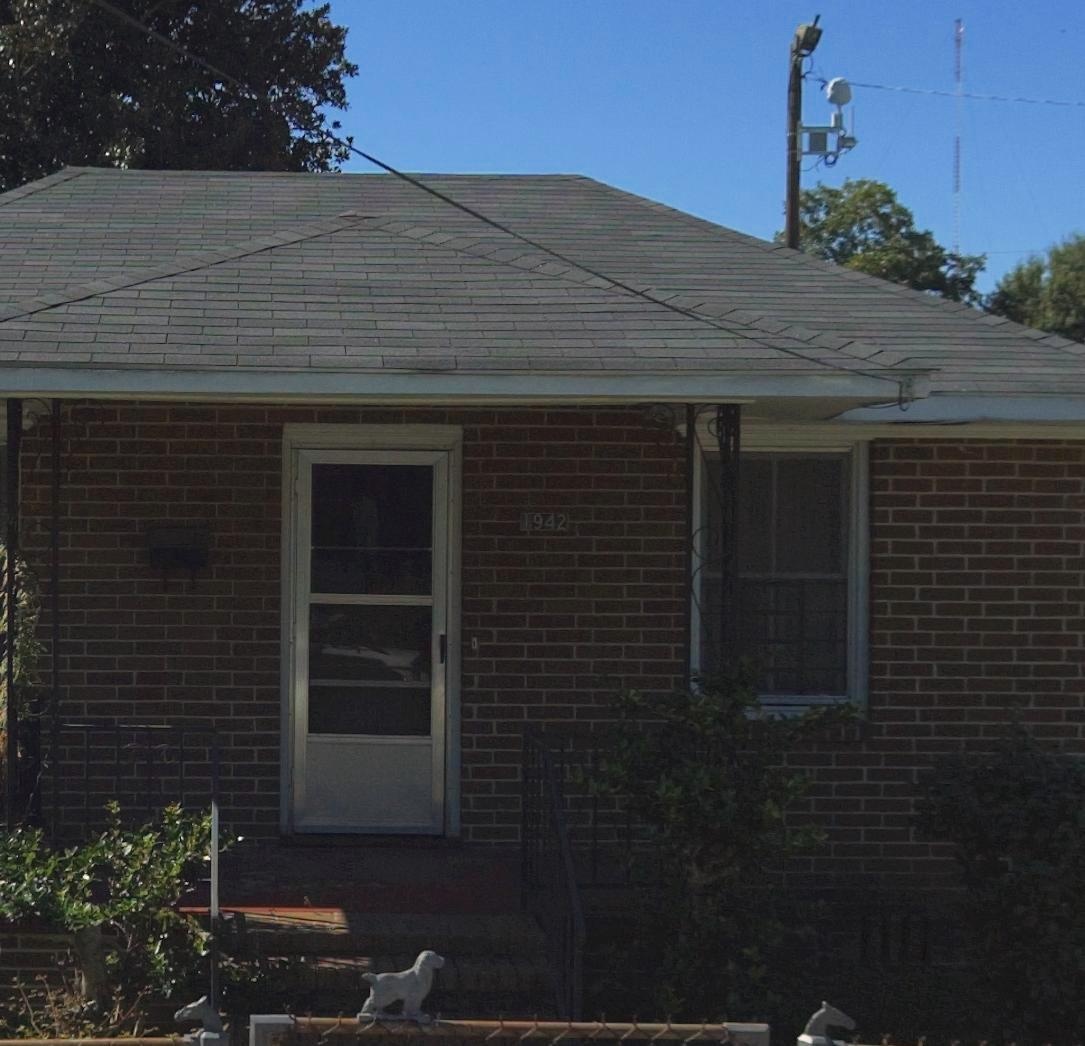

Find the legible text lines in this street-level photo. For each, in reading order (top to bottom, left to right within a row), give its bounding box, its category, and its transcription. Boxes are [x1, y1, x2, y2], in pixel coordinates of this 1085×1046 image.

[520, 511, 568, 532] StreetNumber: 1942